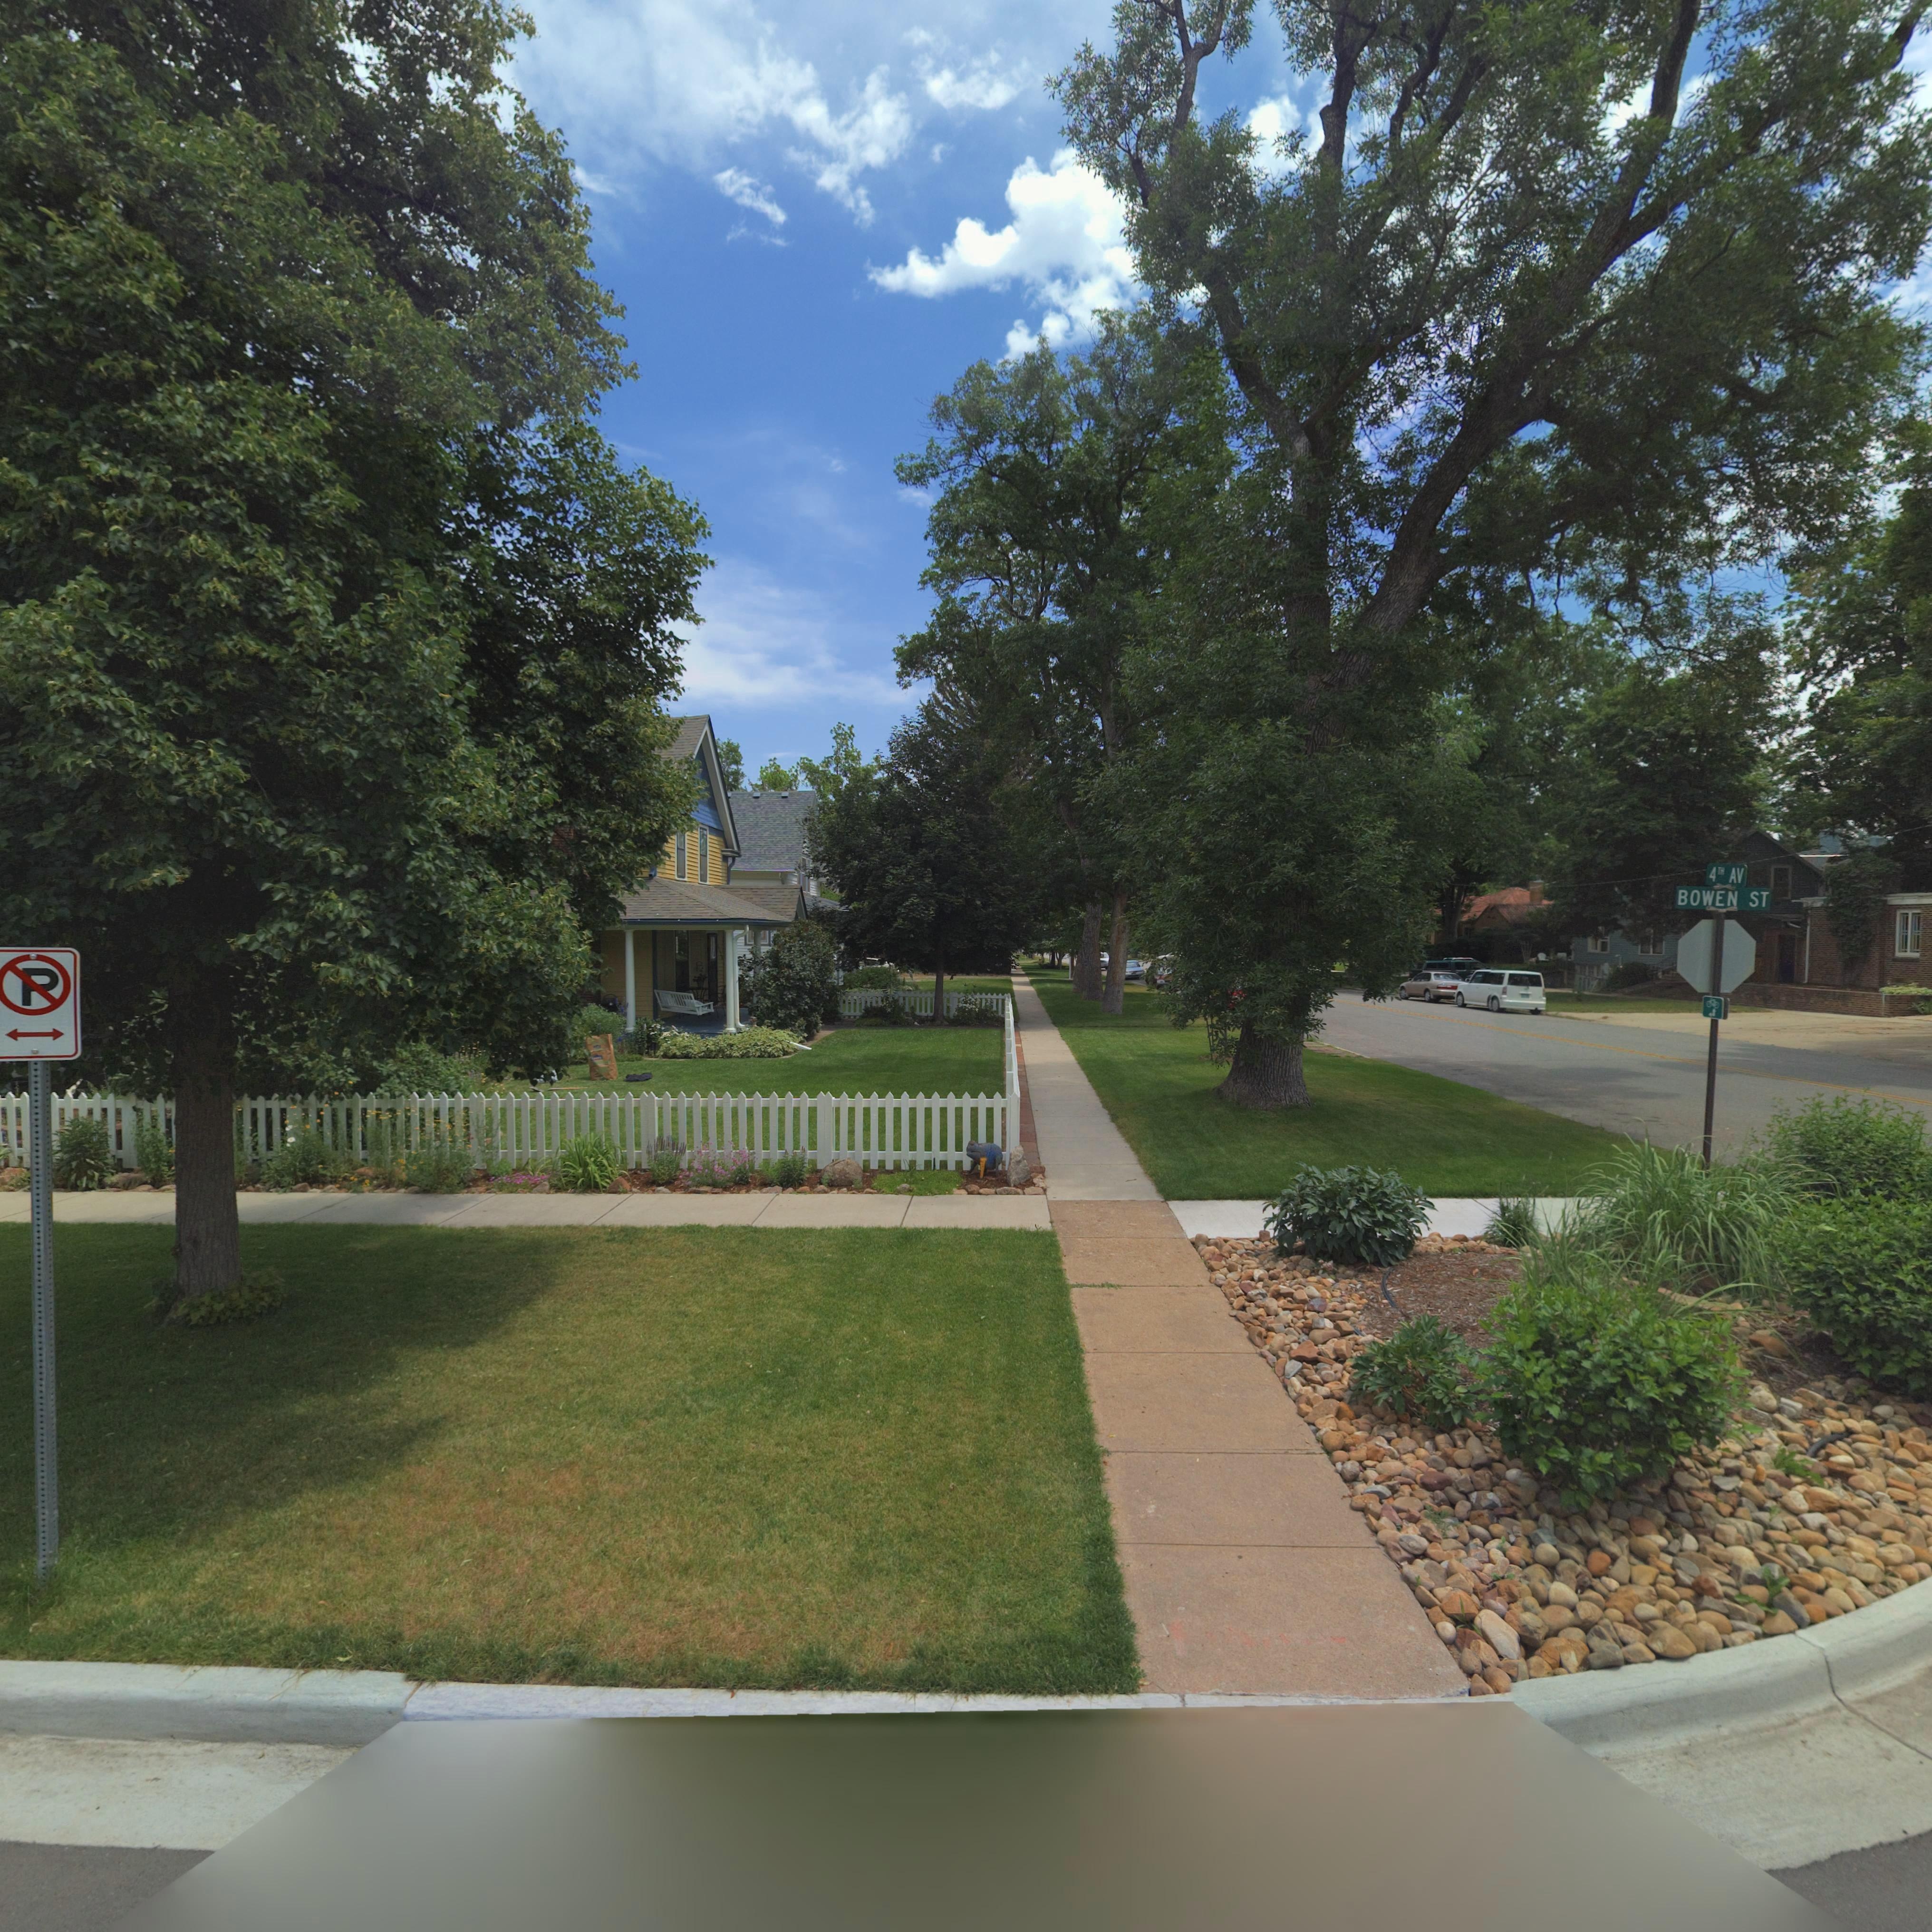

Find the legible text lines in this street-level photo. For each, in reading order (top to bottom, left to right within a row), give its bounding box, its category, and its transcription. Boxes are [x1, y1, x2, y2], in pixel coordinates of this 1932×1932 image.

[1708, 865, 1745, 884] StreetName: 4TH AV
[1676, 889, 1770, 908] StreetName: BOWEN ST